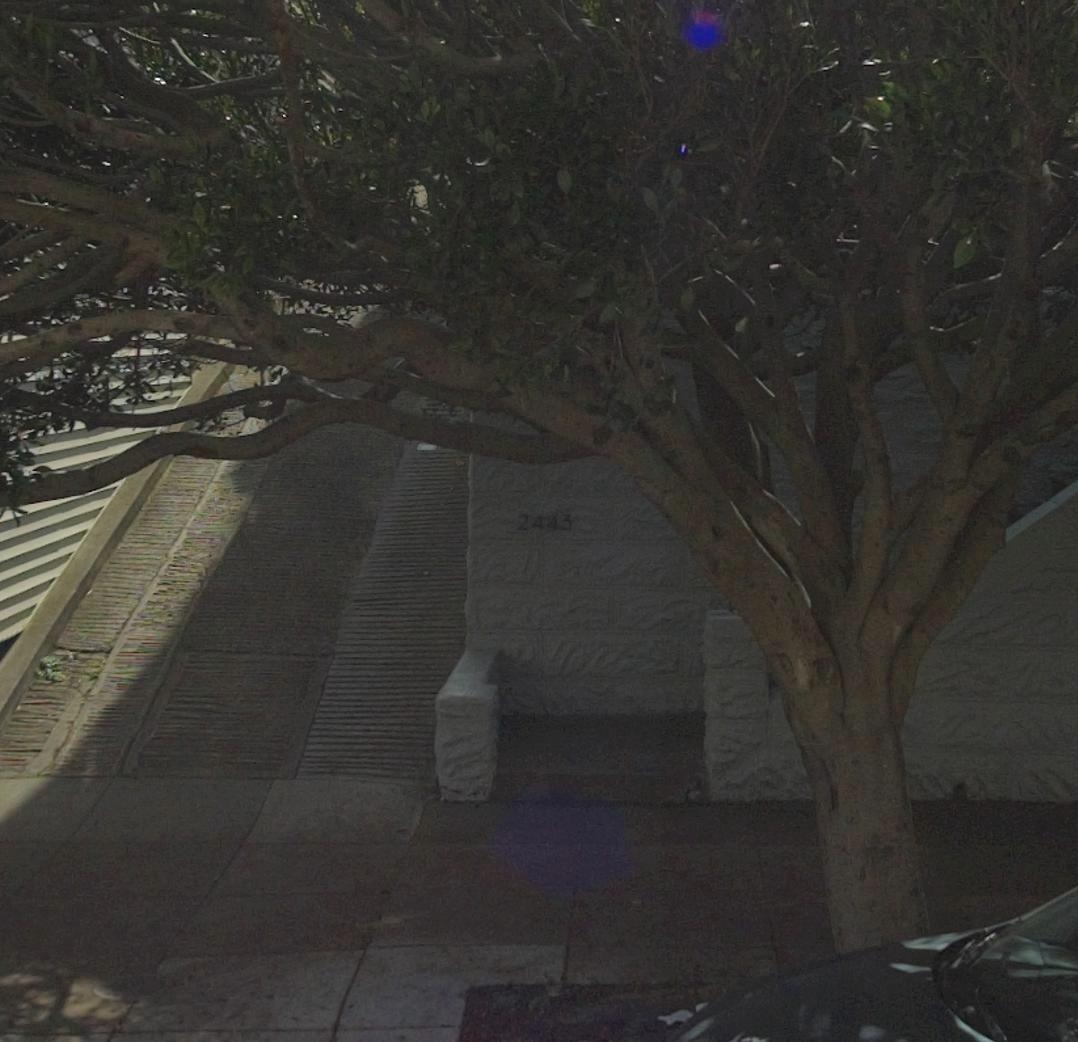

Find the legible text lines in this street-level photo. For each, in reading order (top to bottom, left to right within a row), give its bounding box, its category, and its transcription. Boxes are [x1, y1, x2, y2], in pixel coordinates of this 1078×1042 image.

[514, 511, 574, 533] StreetNumber: 2443